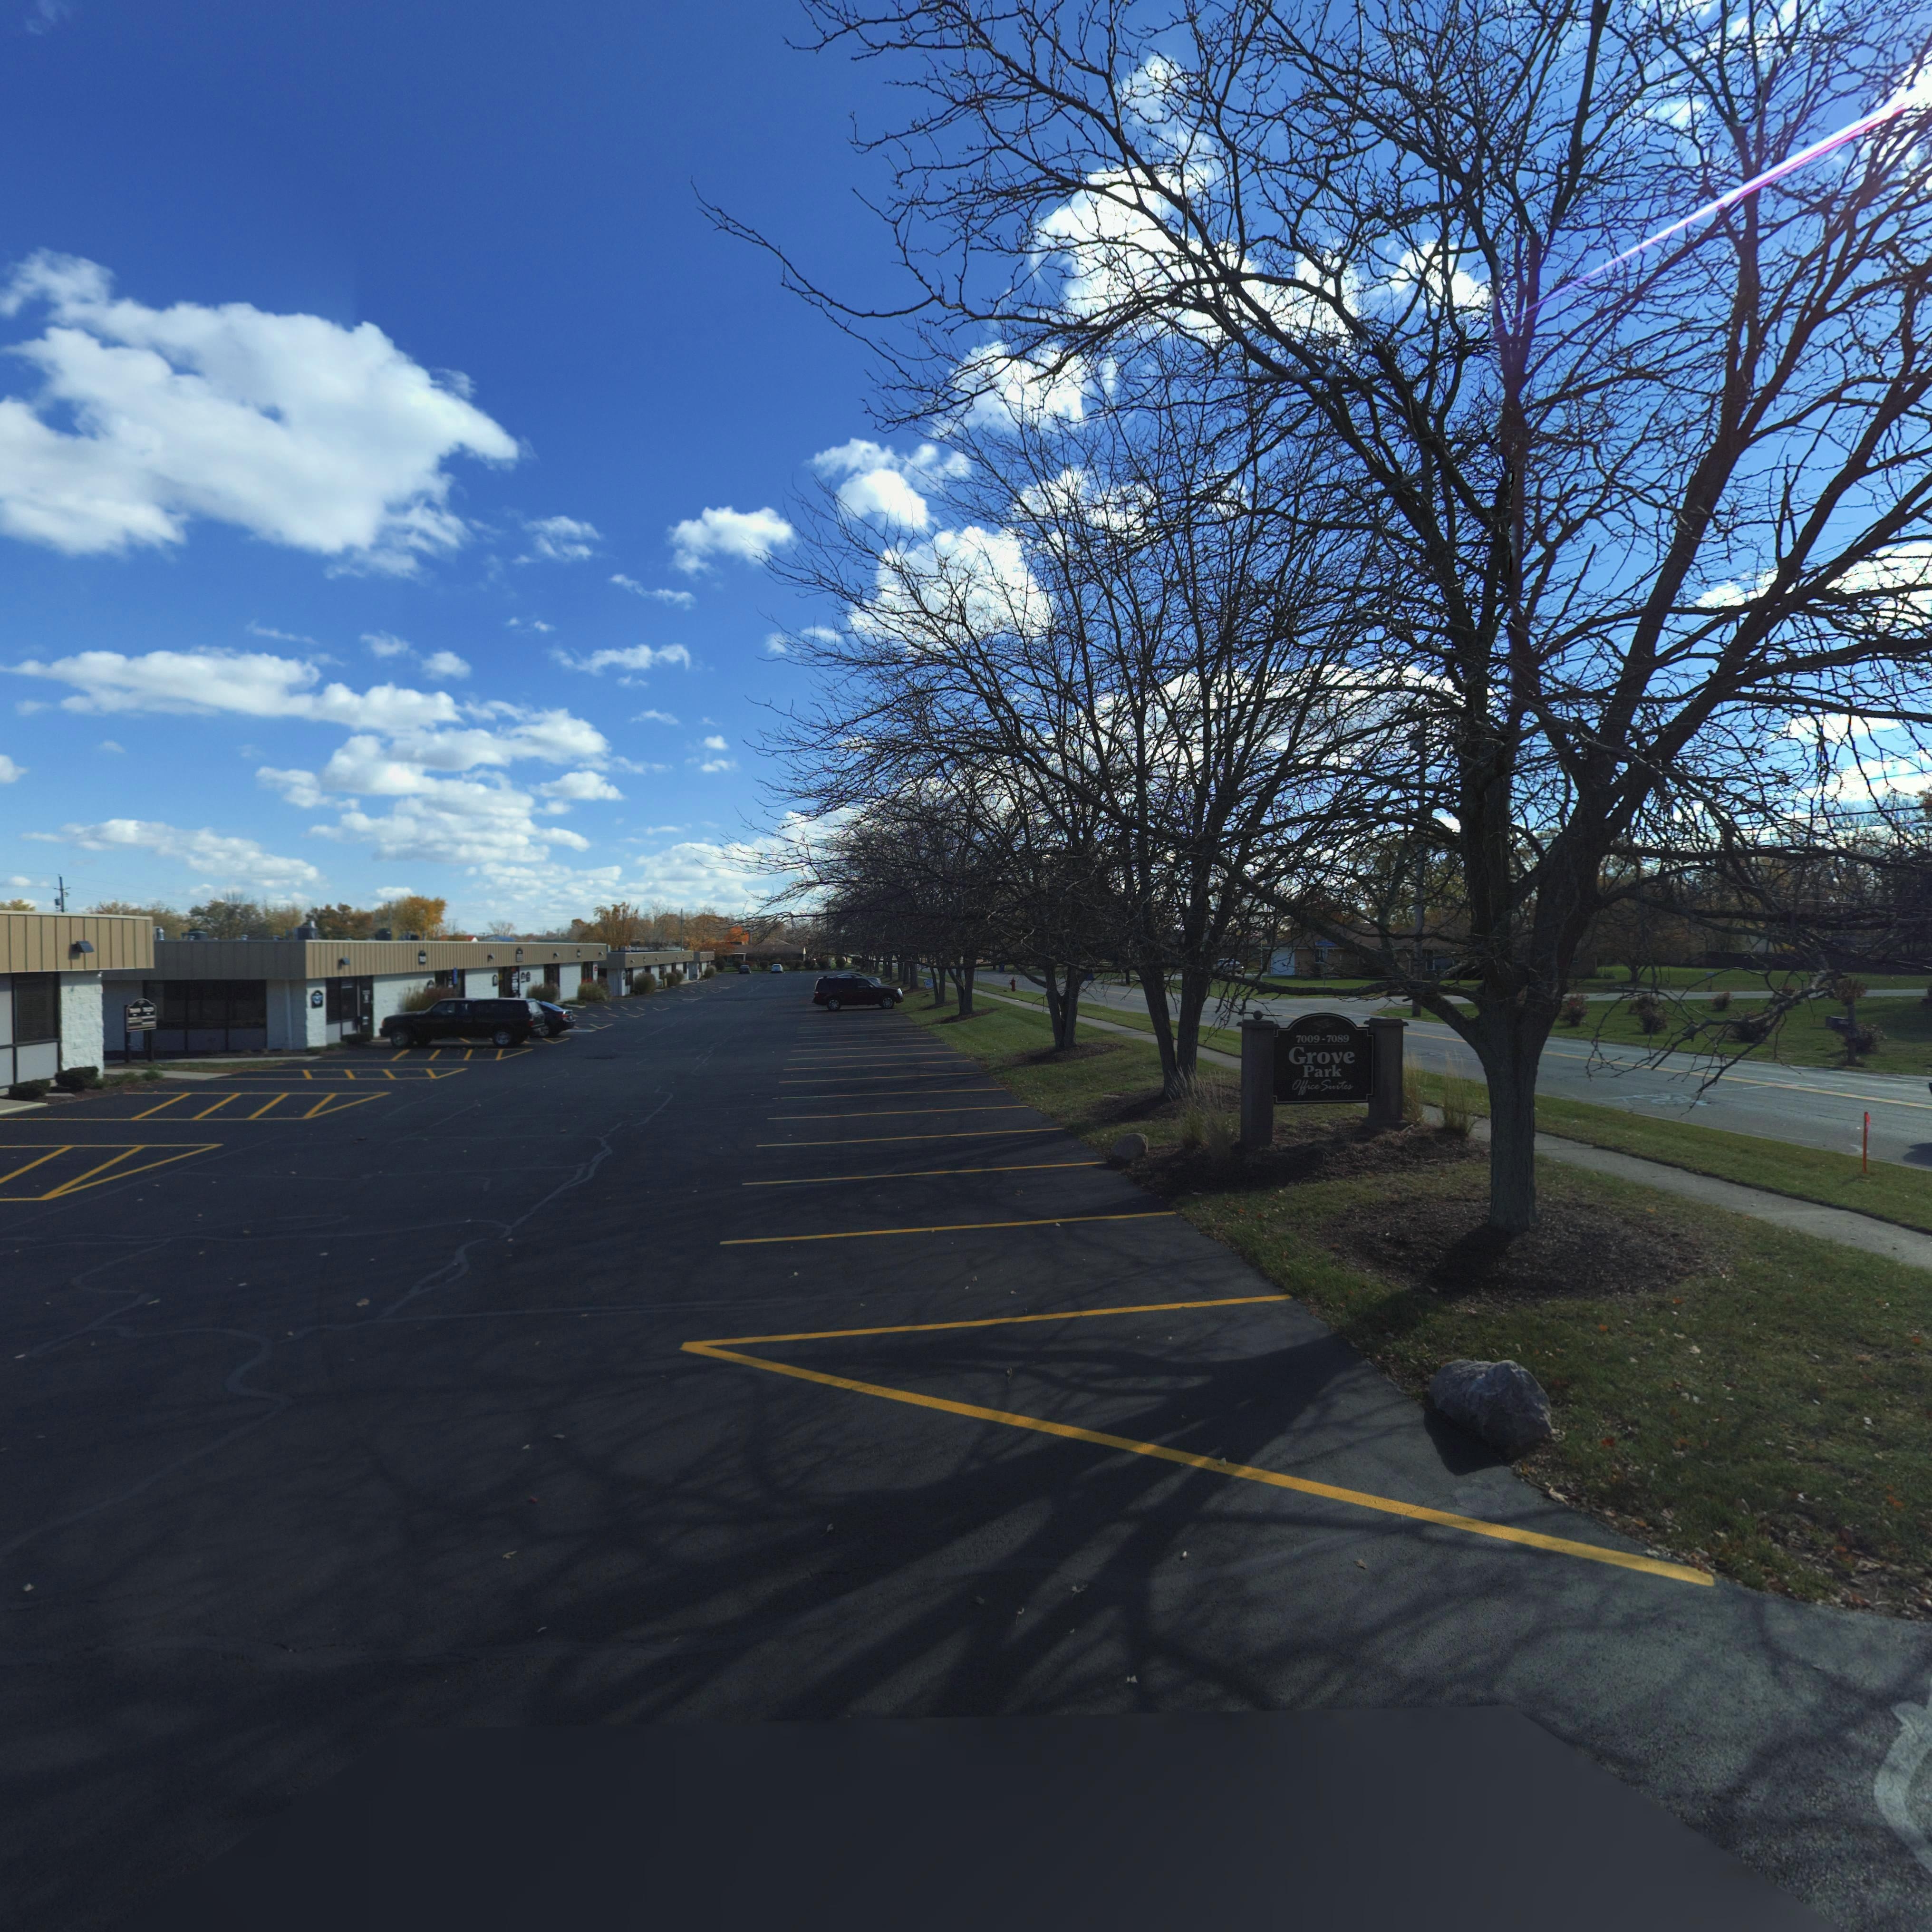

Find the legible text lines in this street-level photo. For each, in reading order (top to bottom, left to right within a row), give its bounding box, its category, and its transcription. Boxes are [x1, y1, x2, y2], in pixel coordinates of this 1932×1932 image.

[1294, 1034, 1321, 1044] StreetNumber: 7009
[1325, 1034, 1351, 1045] StreetNumber: 7089